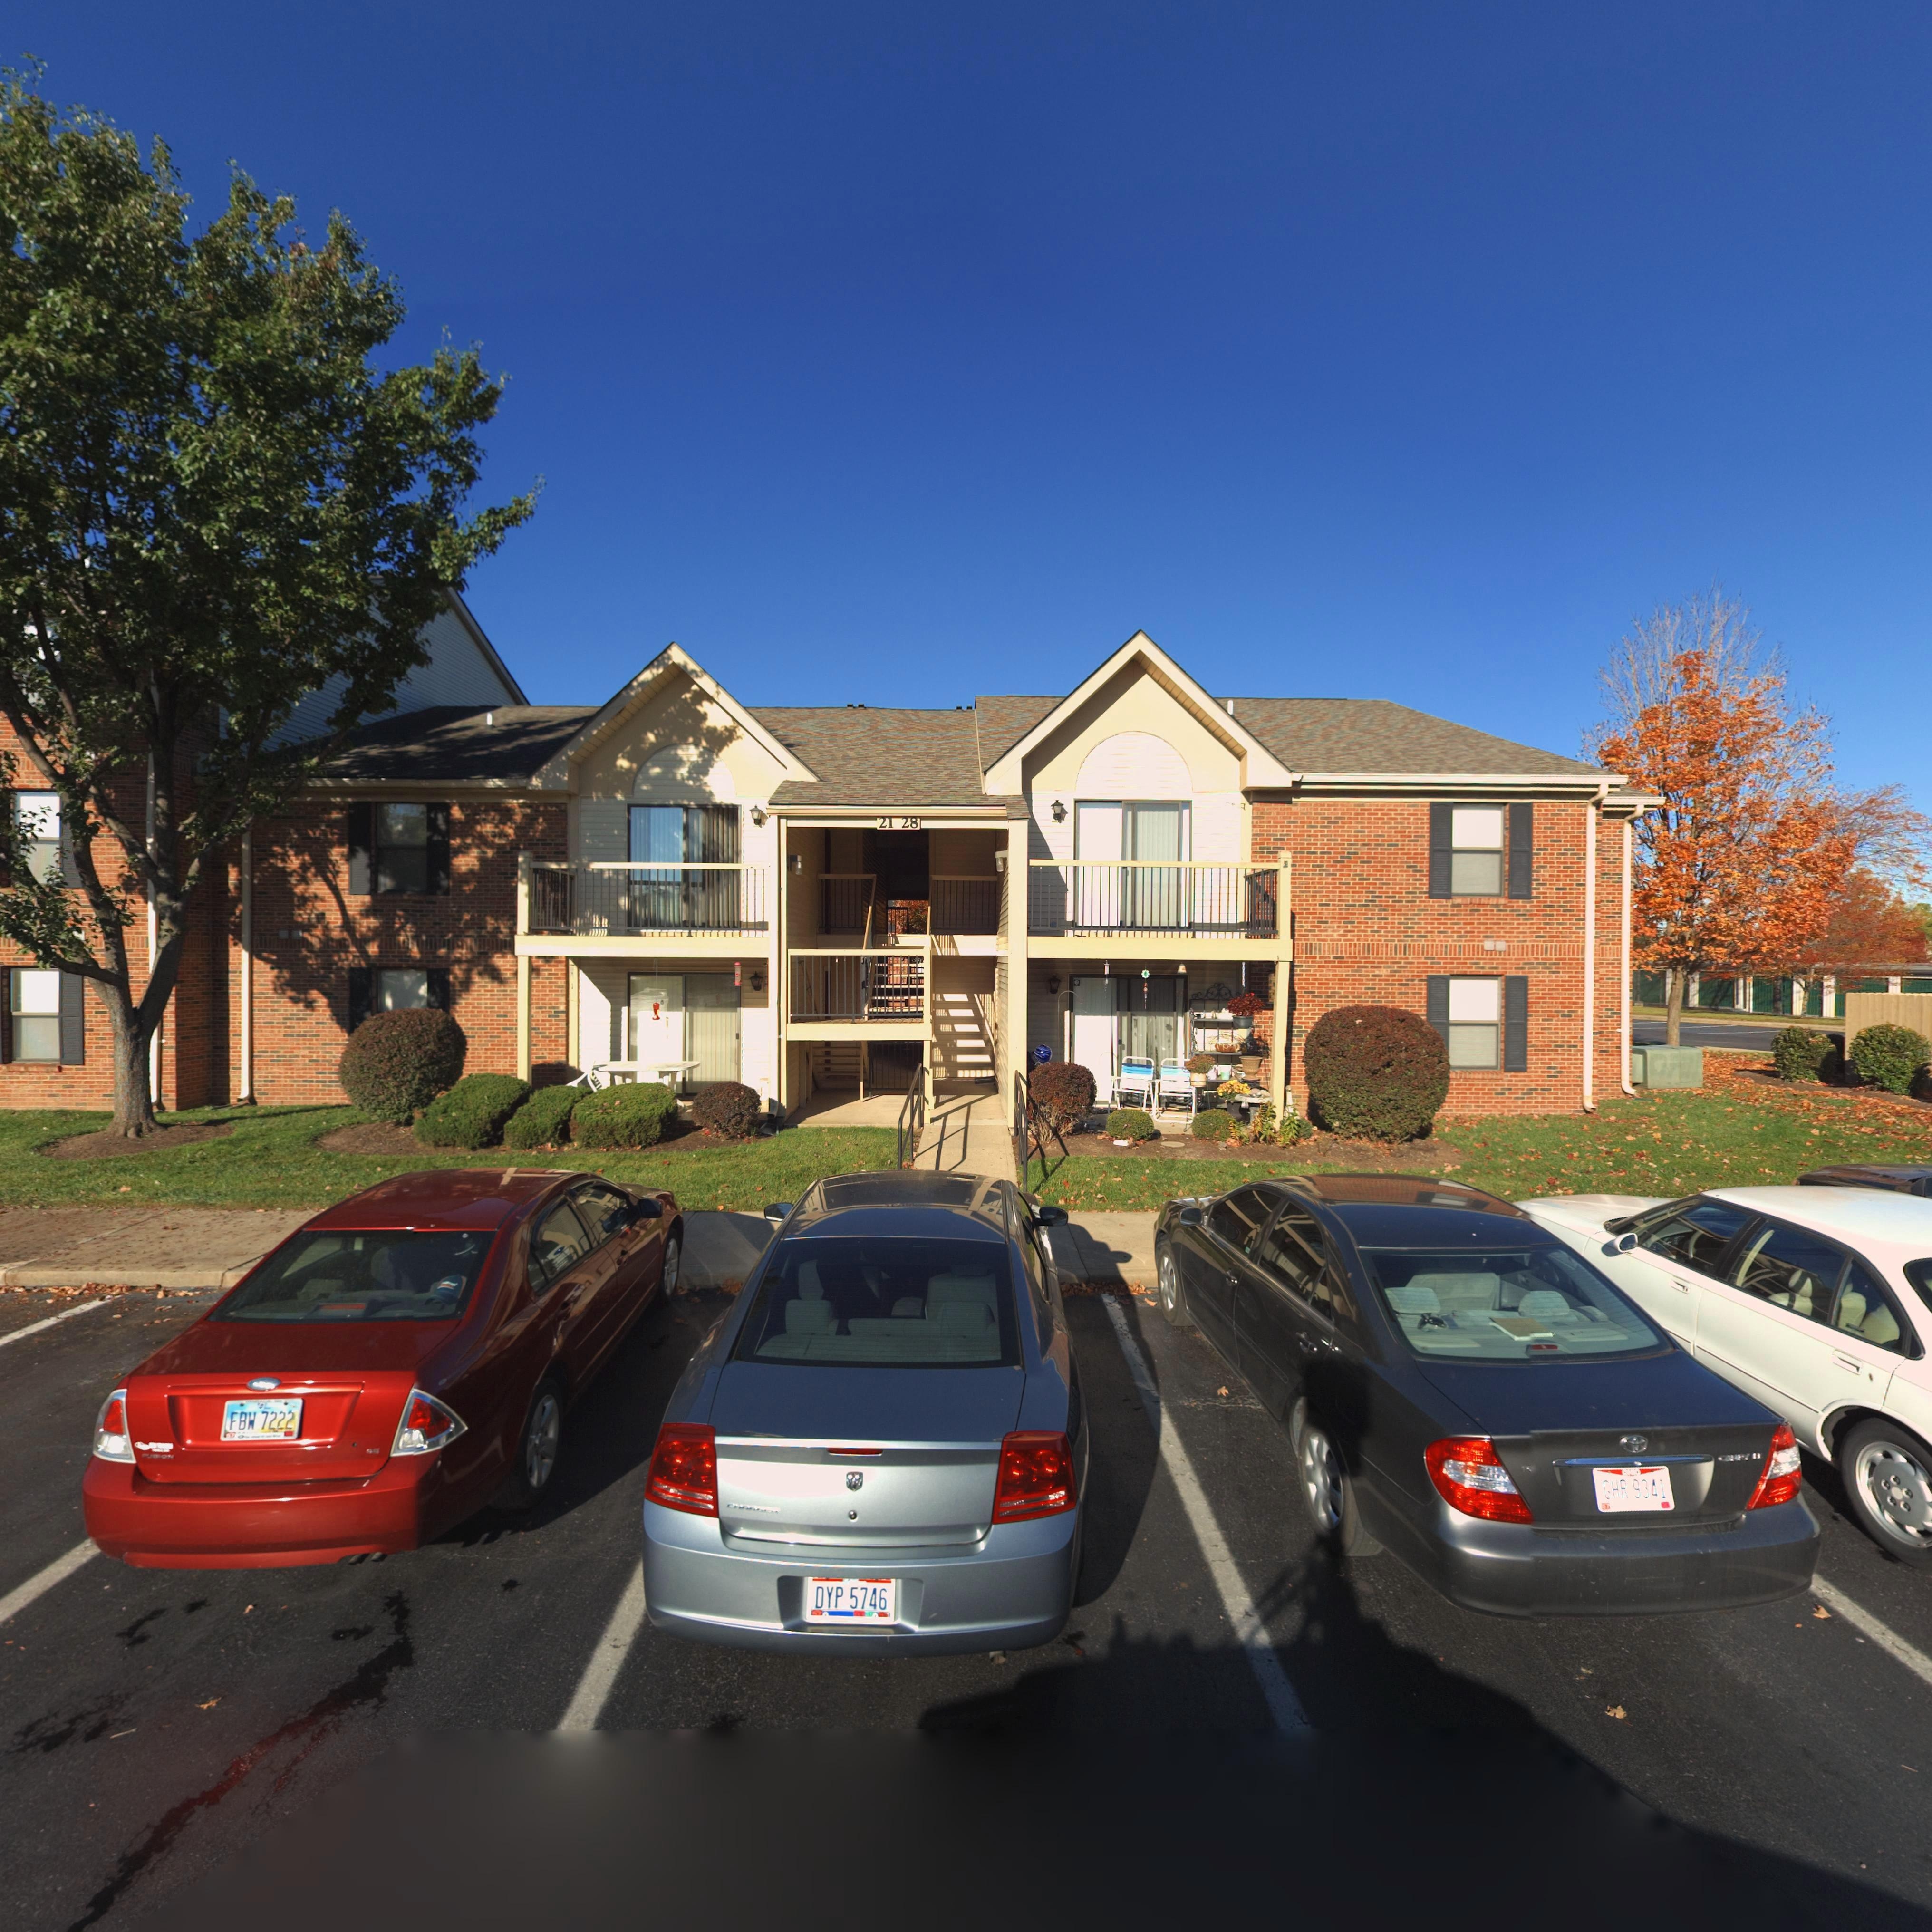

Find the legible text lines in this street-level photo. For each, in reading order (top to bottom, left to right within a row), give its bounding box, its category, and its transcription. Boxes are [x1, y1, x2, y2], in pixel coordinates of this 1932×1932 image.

[878, 815, 919, 829] StreetNumber: 21 28